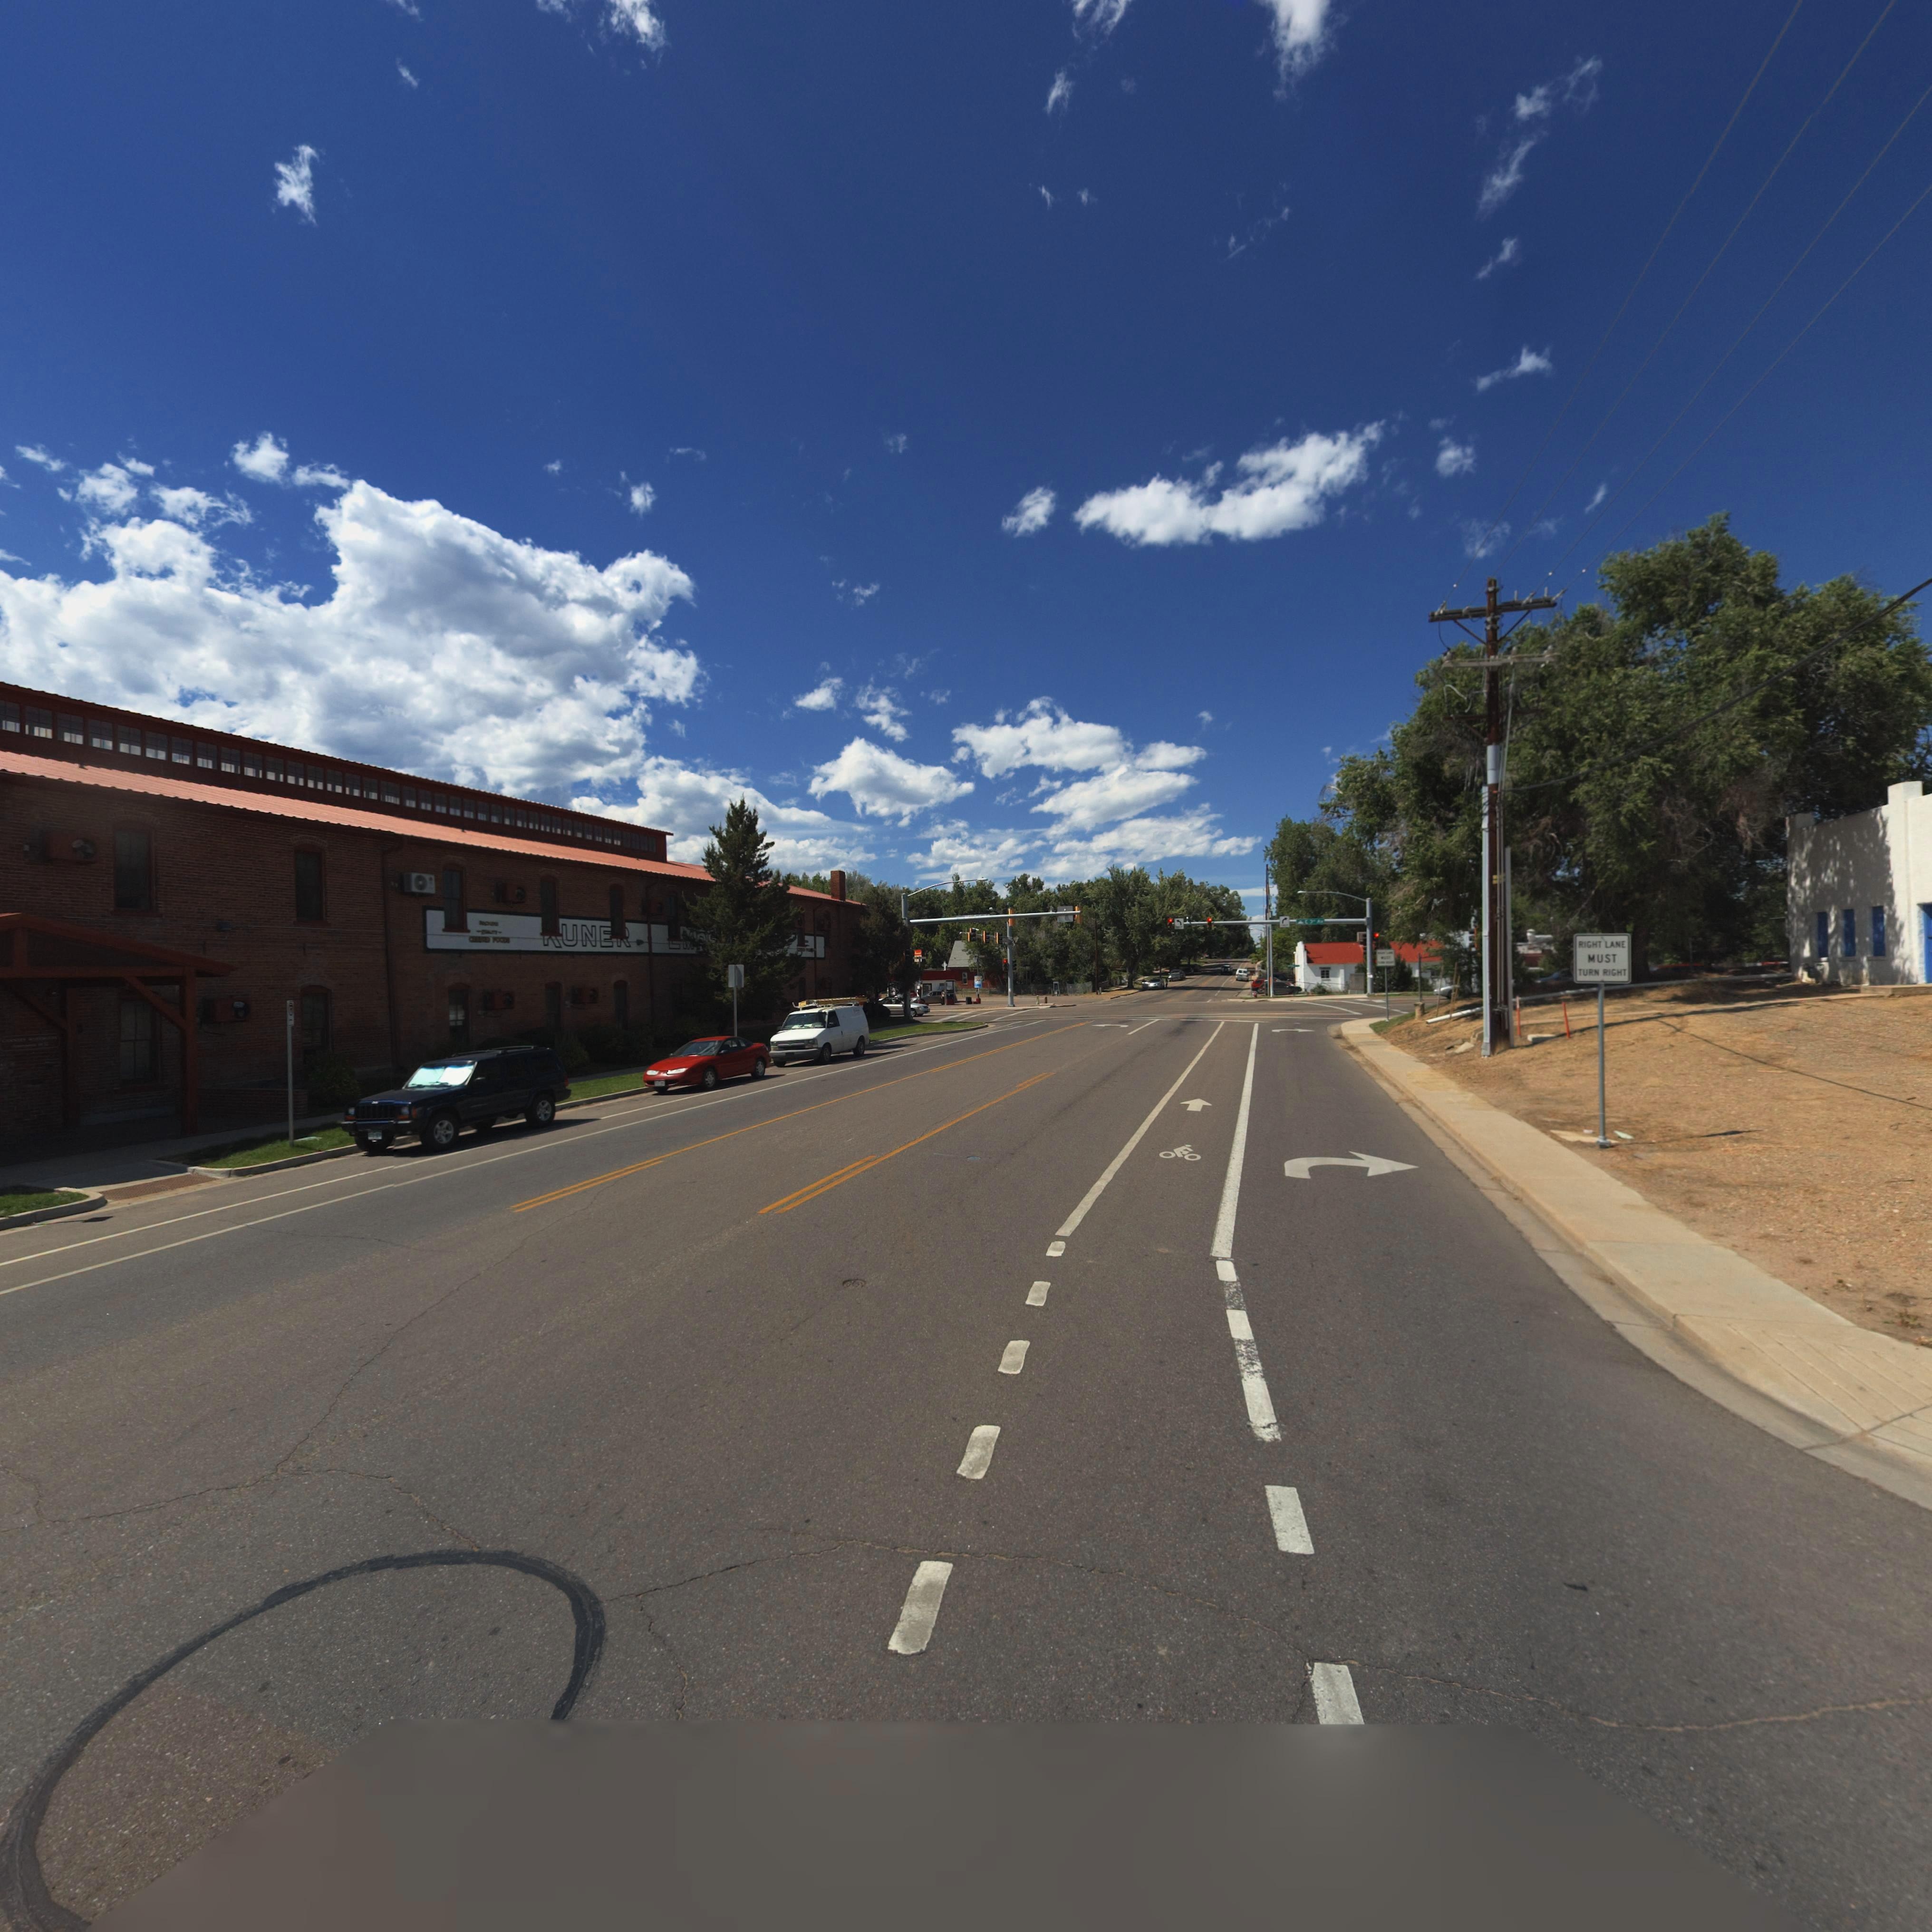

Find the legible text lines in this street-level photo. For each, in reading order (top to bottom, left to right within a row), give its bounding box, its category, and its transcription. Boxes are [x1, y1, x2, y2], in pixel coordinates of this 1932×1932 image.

[1305, 919, 1323, 924] StreetName: E 3** Av
[561, 923, 613, 947] BusinessName: UNE
[682, 930, 717, 951] BusinessName: MPS